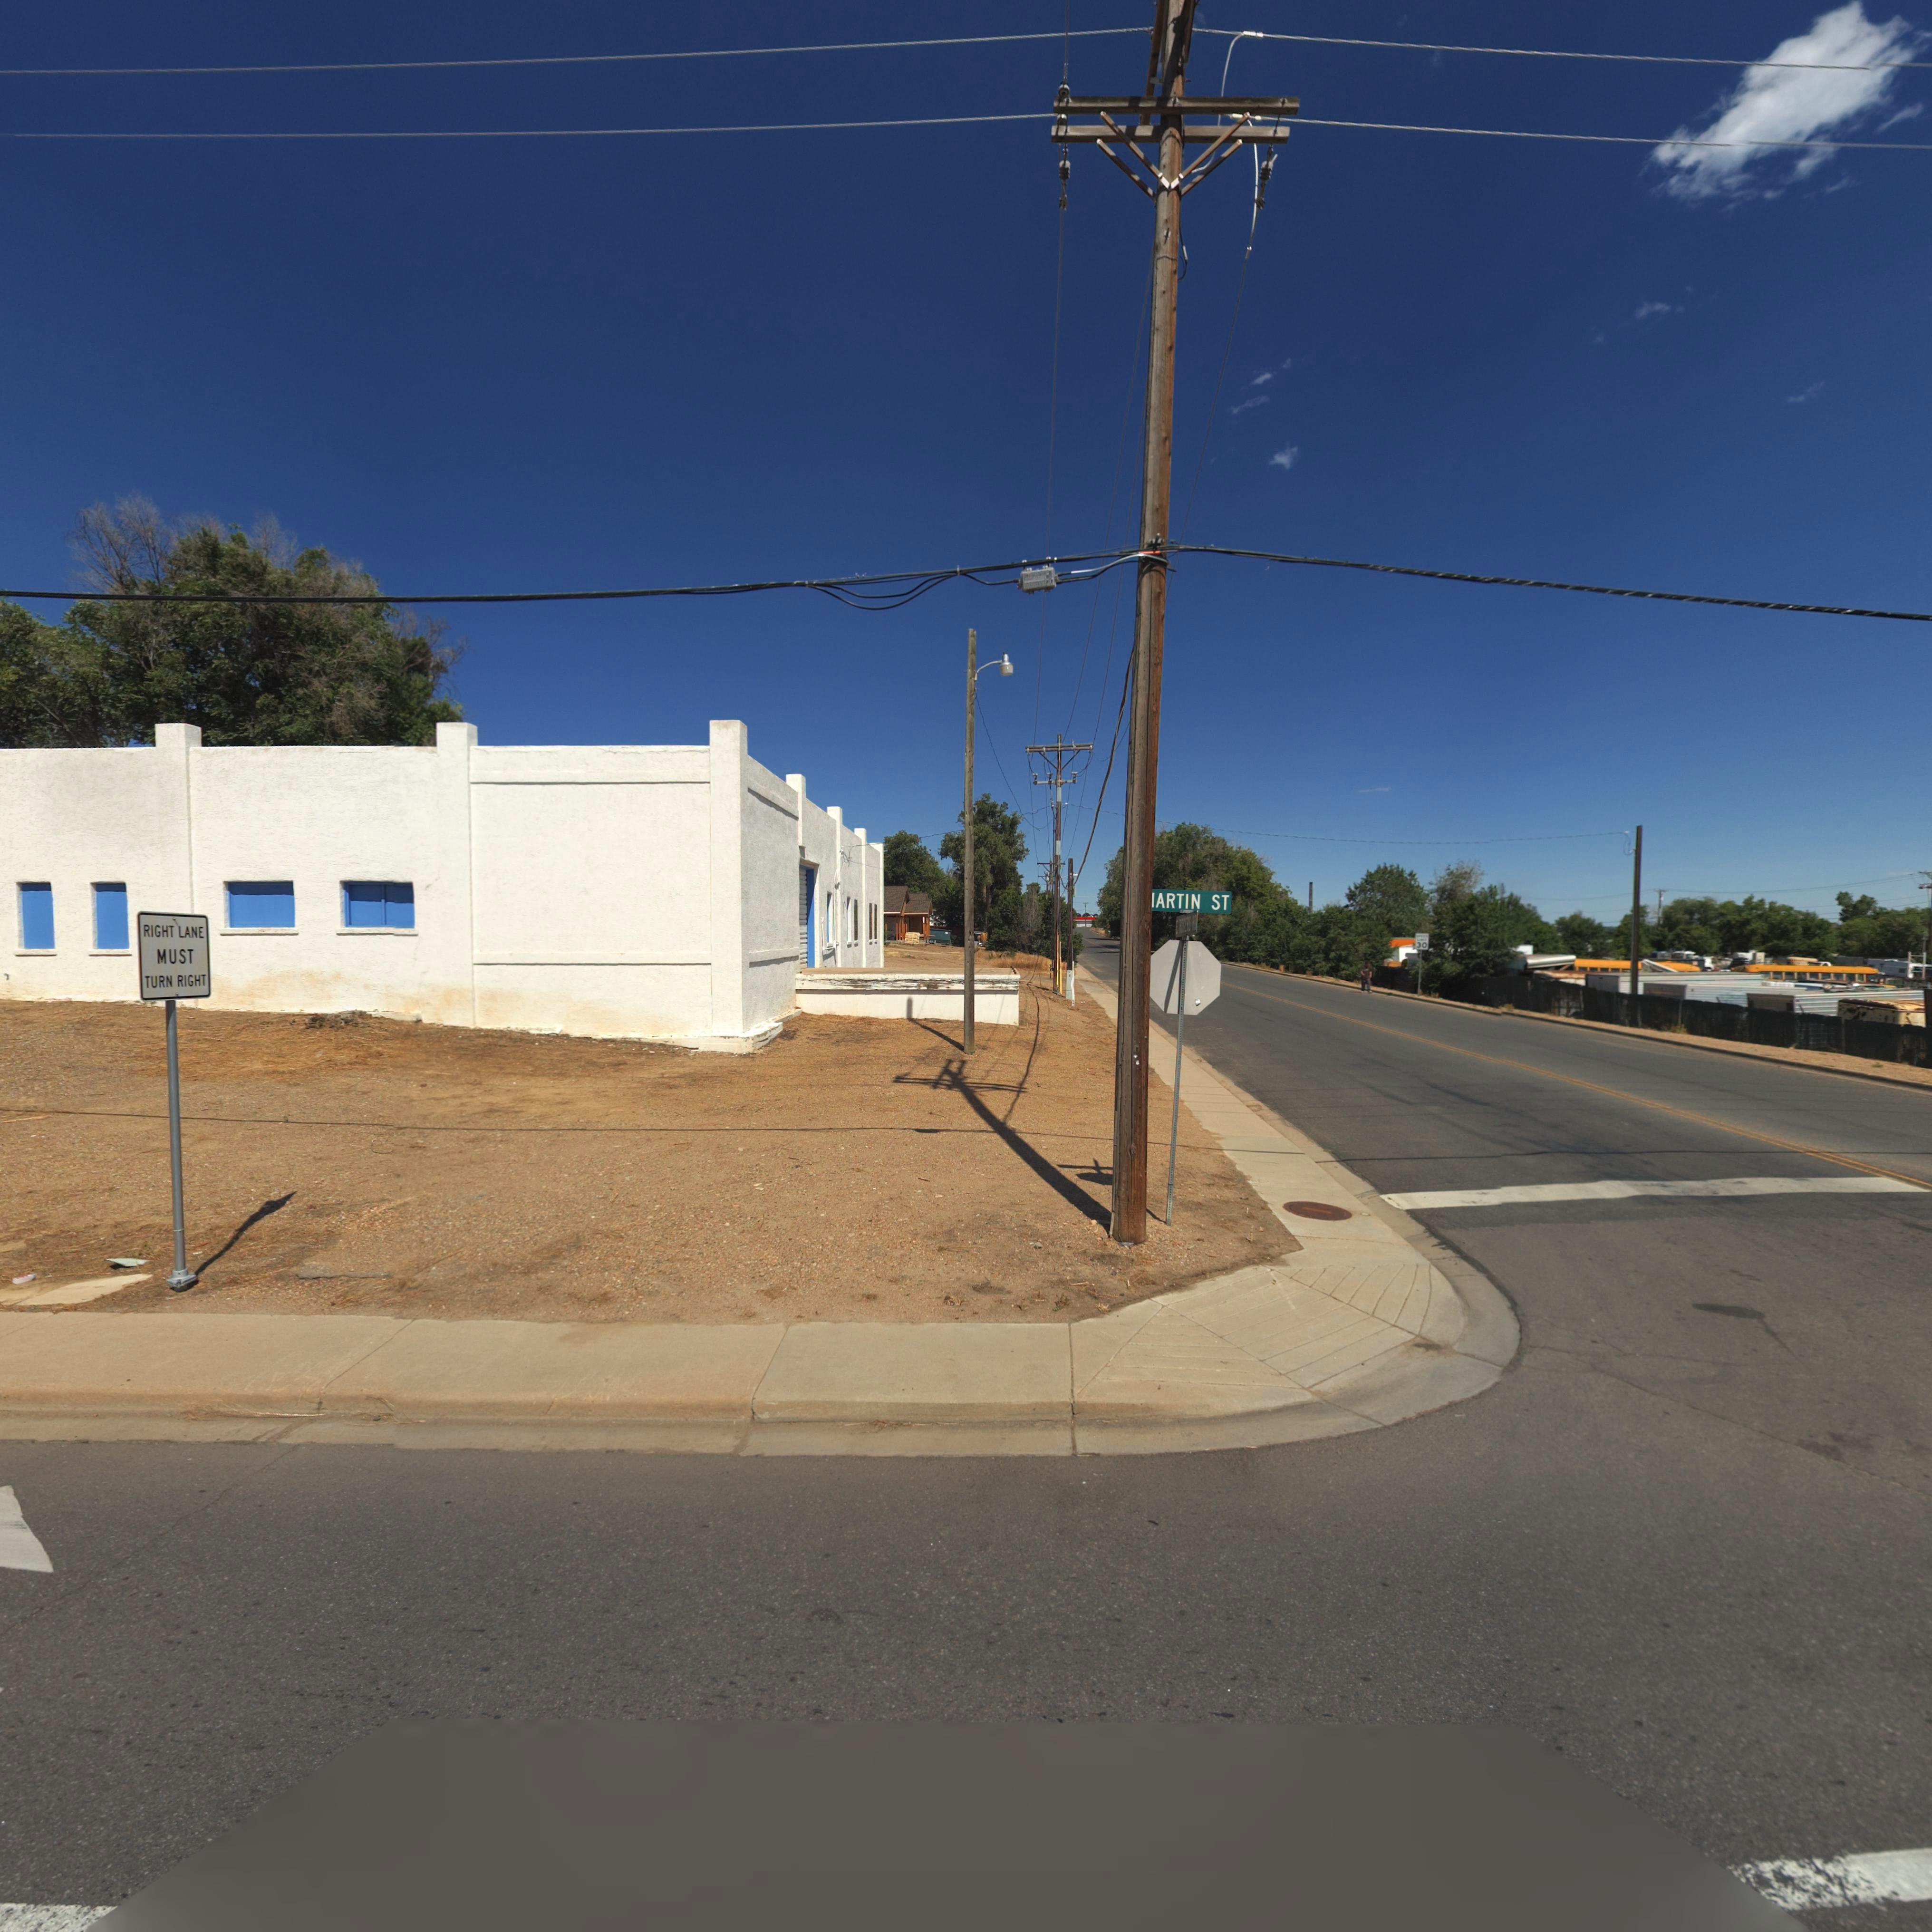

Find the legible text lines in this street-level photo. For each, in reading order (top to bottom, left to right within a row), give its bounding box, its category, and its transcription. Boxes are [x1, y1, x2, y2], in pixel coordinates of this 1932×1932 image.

[1154, 892, 1230, 911] StreetName: ARTIN ST
[1175, 913, 1196, 935] StreetName: E ***ERS R*